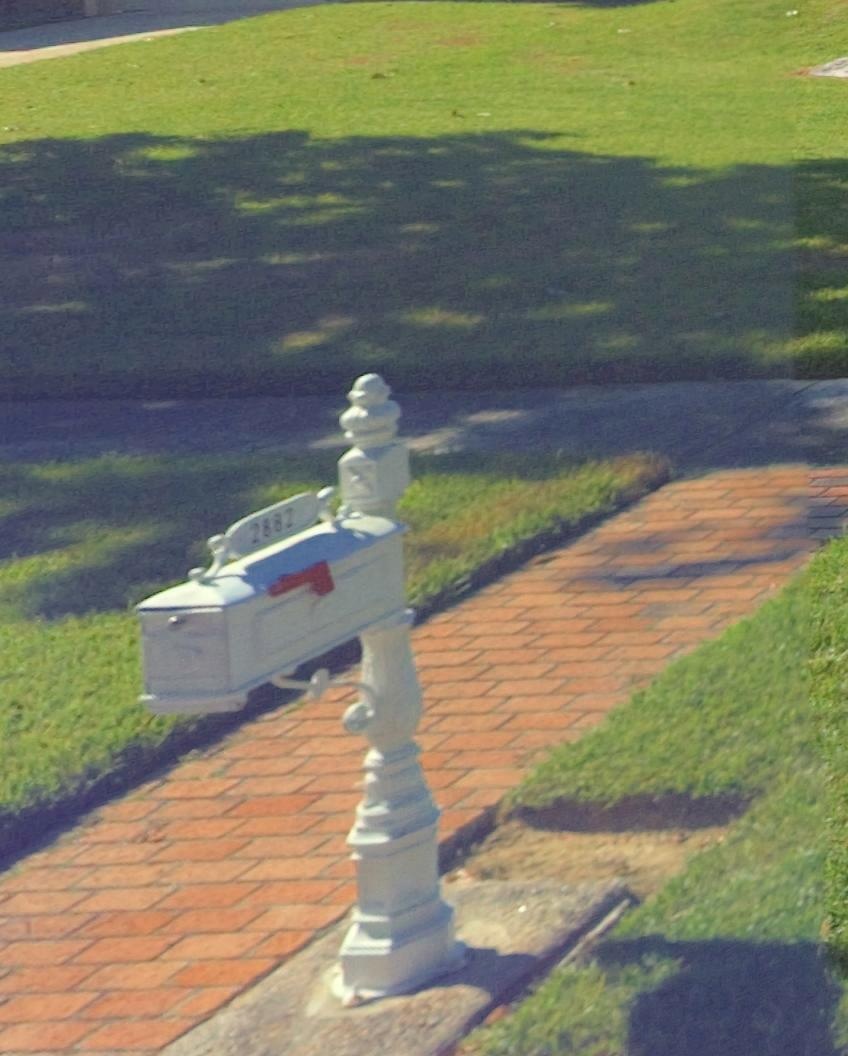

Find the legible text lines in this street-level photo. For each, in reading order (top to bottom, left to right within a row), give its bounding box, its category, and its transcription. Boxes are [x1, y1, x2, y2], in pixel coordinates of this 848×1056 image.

[245, 502, 298, 549] StreetNumber: 2882